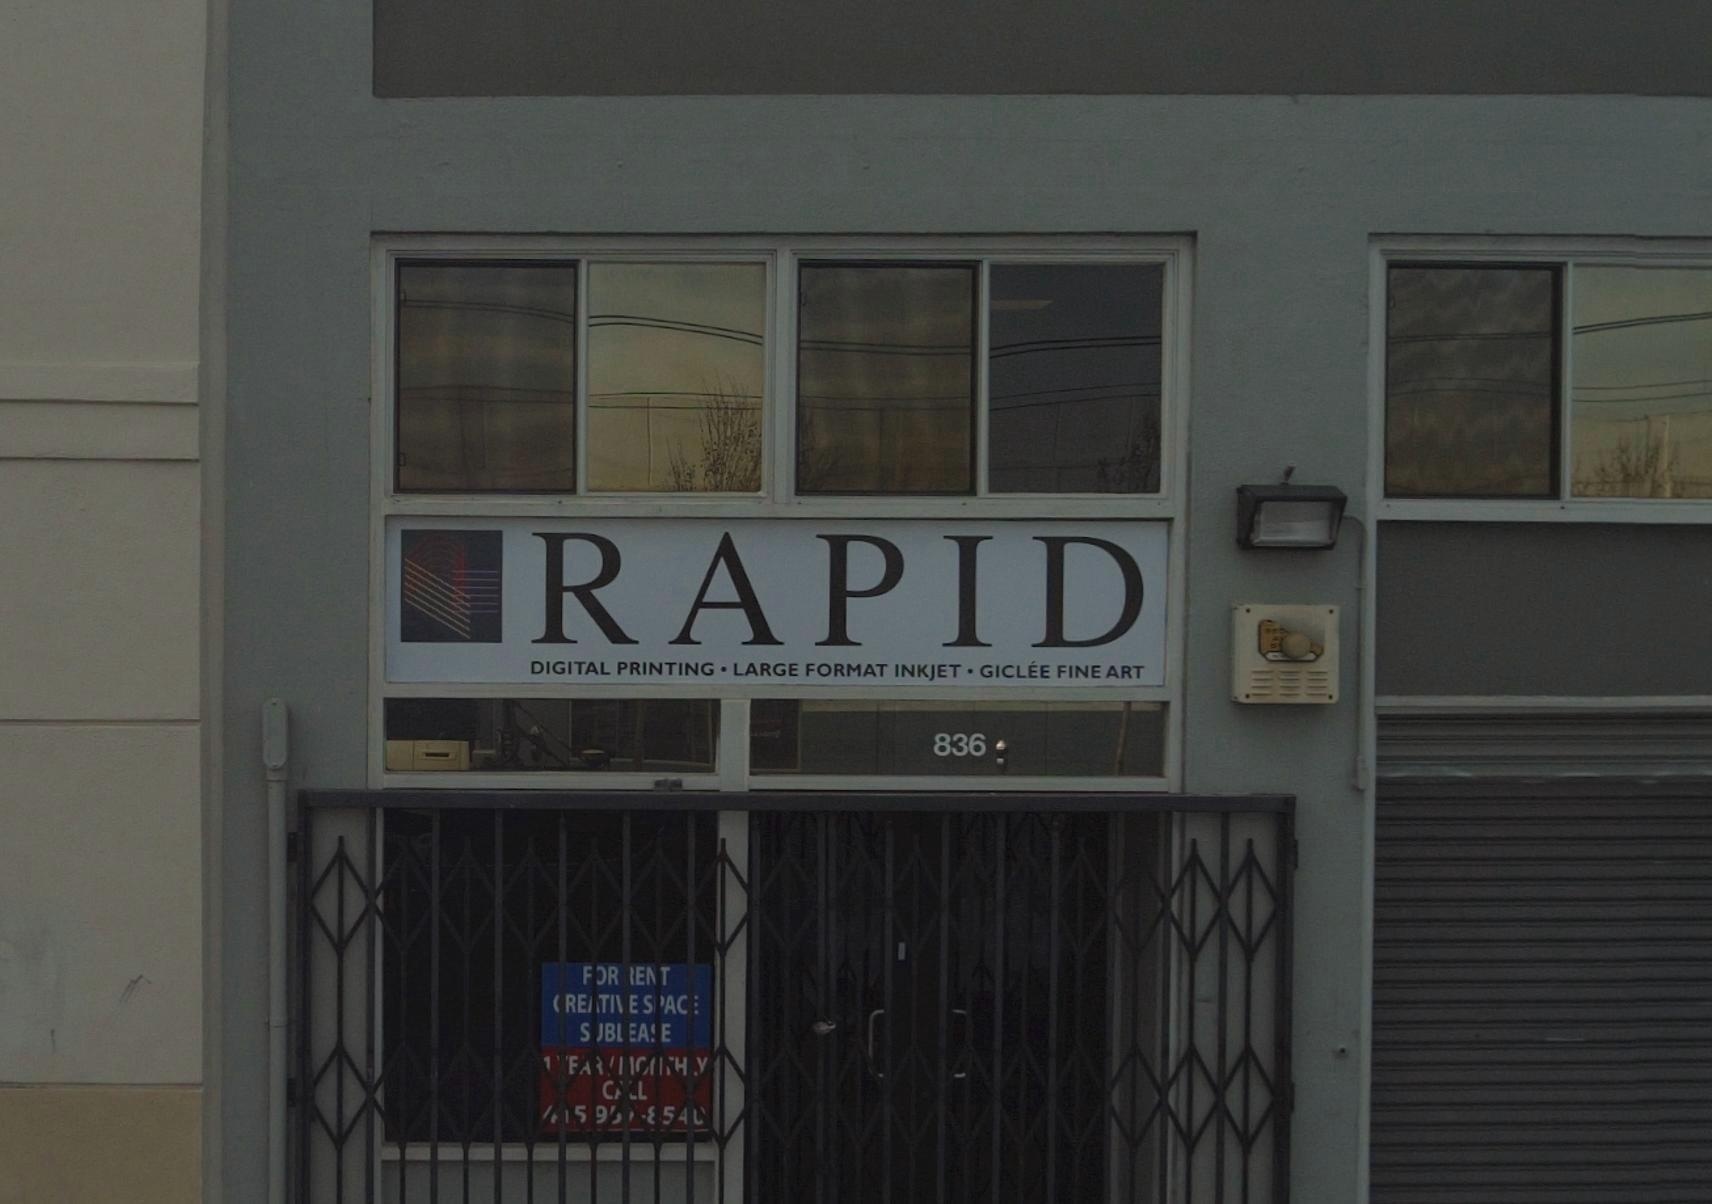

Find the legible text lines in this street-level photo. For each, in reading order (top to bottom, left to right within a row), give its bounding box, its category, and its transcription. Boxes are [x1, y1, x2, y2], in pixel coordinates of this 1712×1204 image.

[526, 528, 1148, 652] BusinessName: RAPID
[526, 655, 1147, 686] None: DIGITAL PRINTING * LARGE FORMAT INKJET * GICLEE FINE ART
[930, 729, 990, 760] StreetNumber: 836
[633, 963, 648, 988] None: E
[563, 991, 589, 1015] None: RE
[596, 992, 620, 1016] None: TI
[627, 991, 655, 1016] None: E S
[660, 992, 691, 1017] None: AC
[603, 1020, 619, 1045] None: B
[634, 1020, 653, 1046] None: A
[659, 1020, 674, 1046] None: E